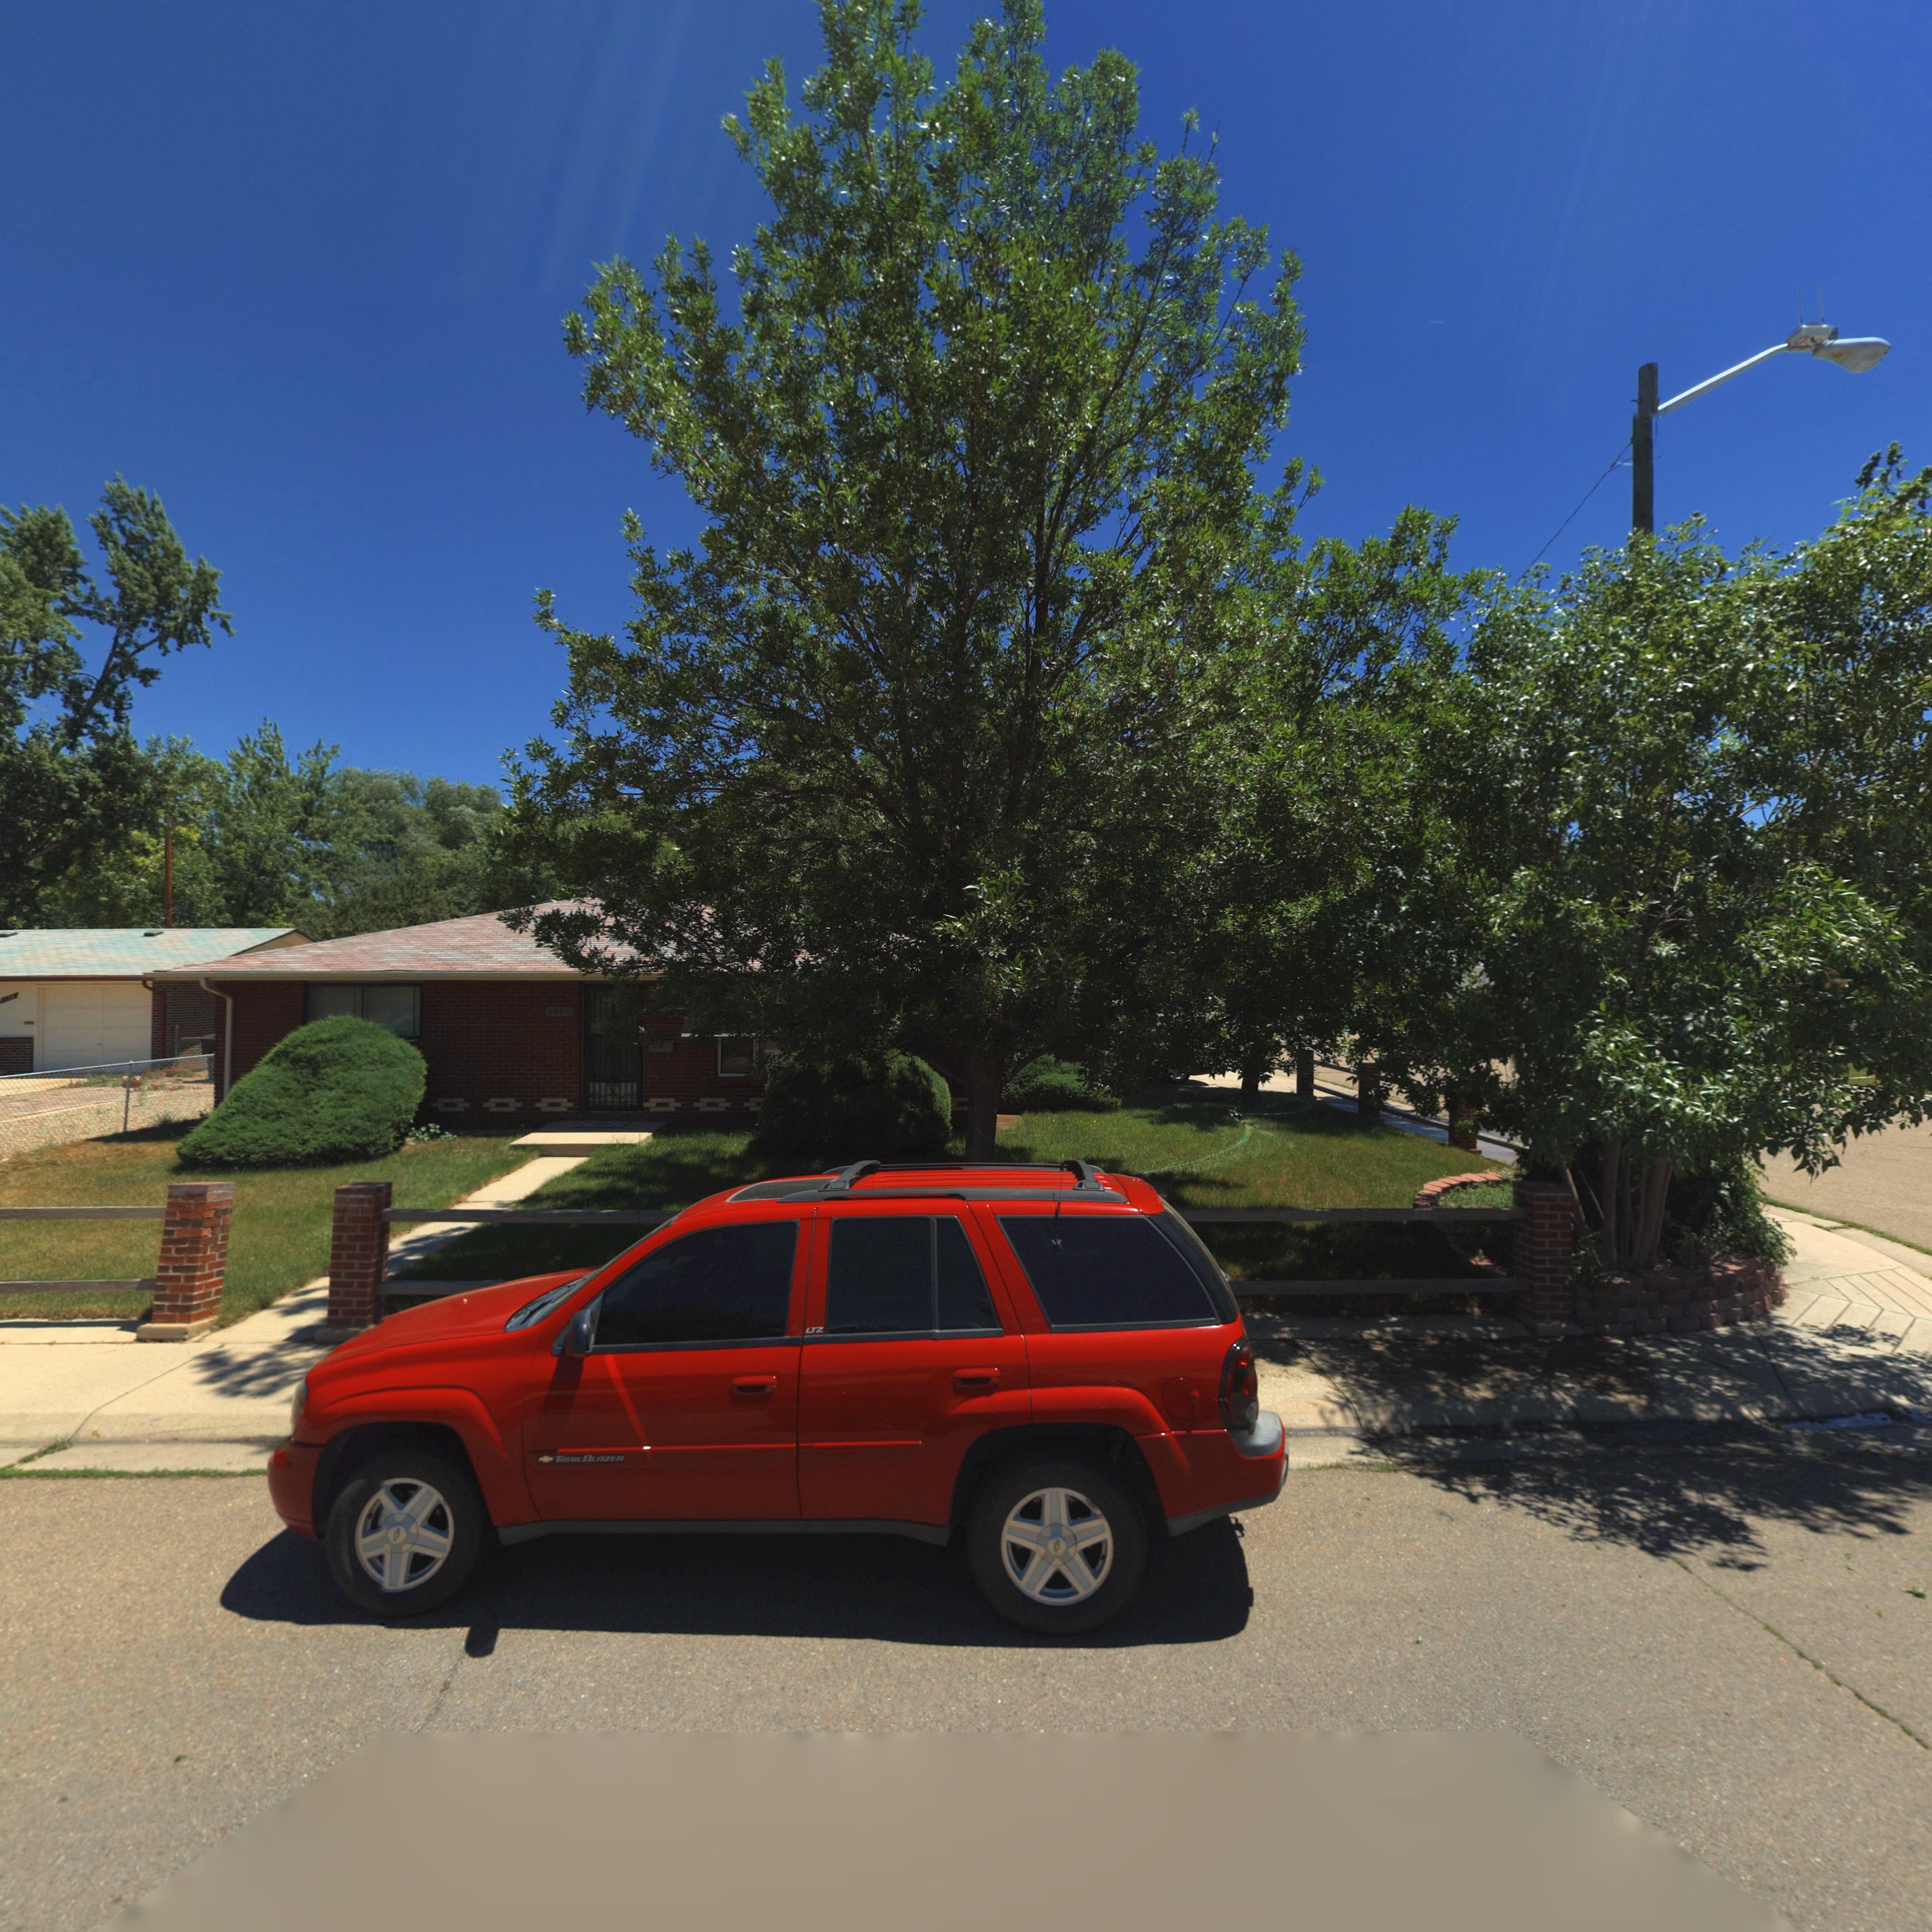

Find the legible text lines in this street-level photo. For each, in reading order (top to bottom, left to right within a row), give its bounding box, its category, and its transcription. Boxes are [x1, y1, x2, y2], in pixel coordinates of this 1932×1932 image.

[548, 1007, 571, 1015] StreetNumber: 1800